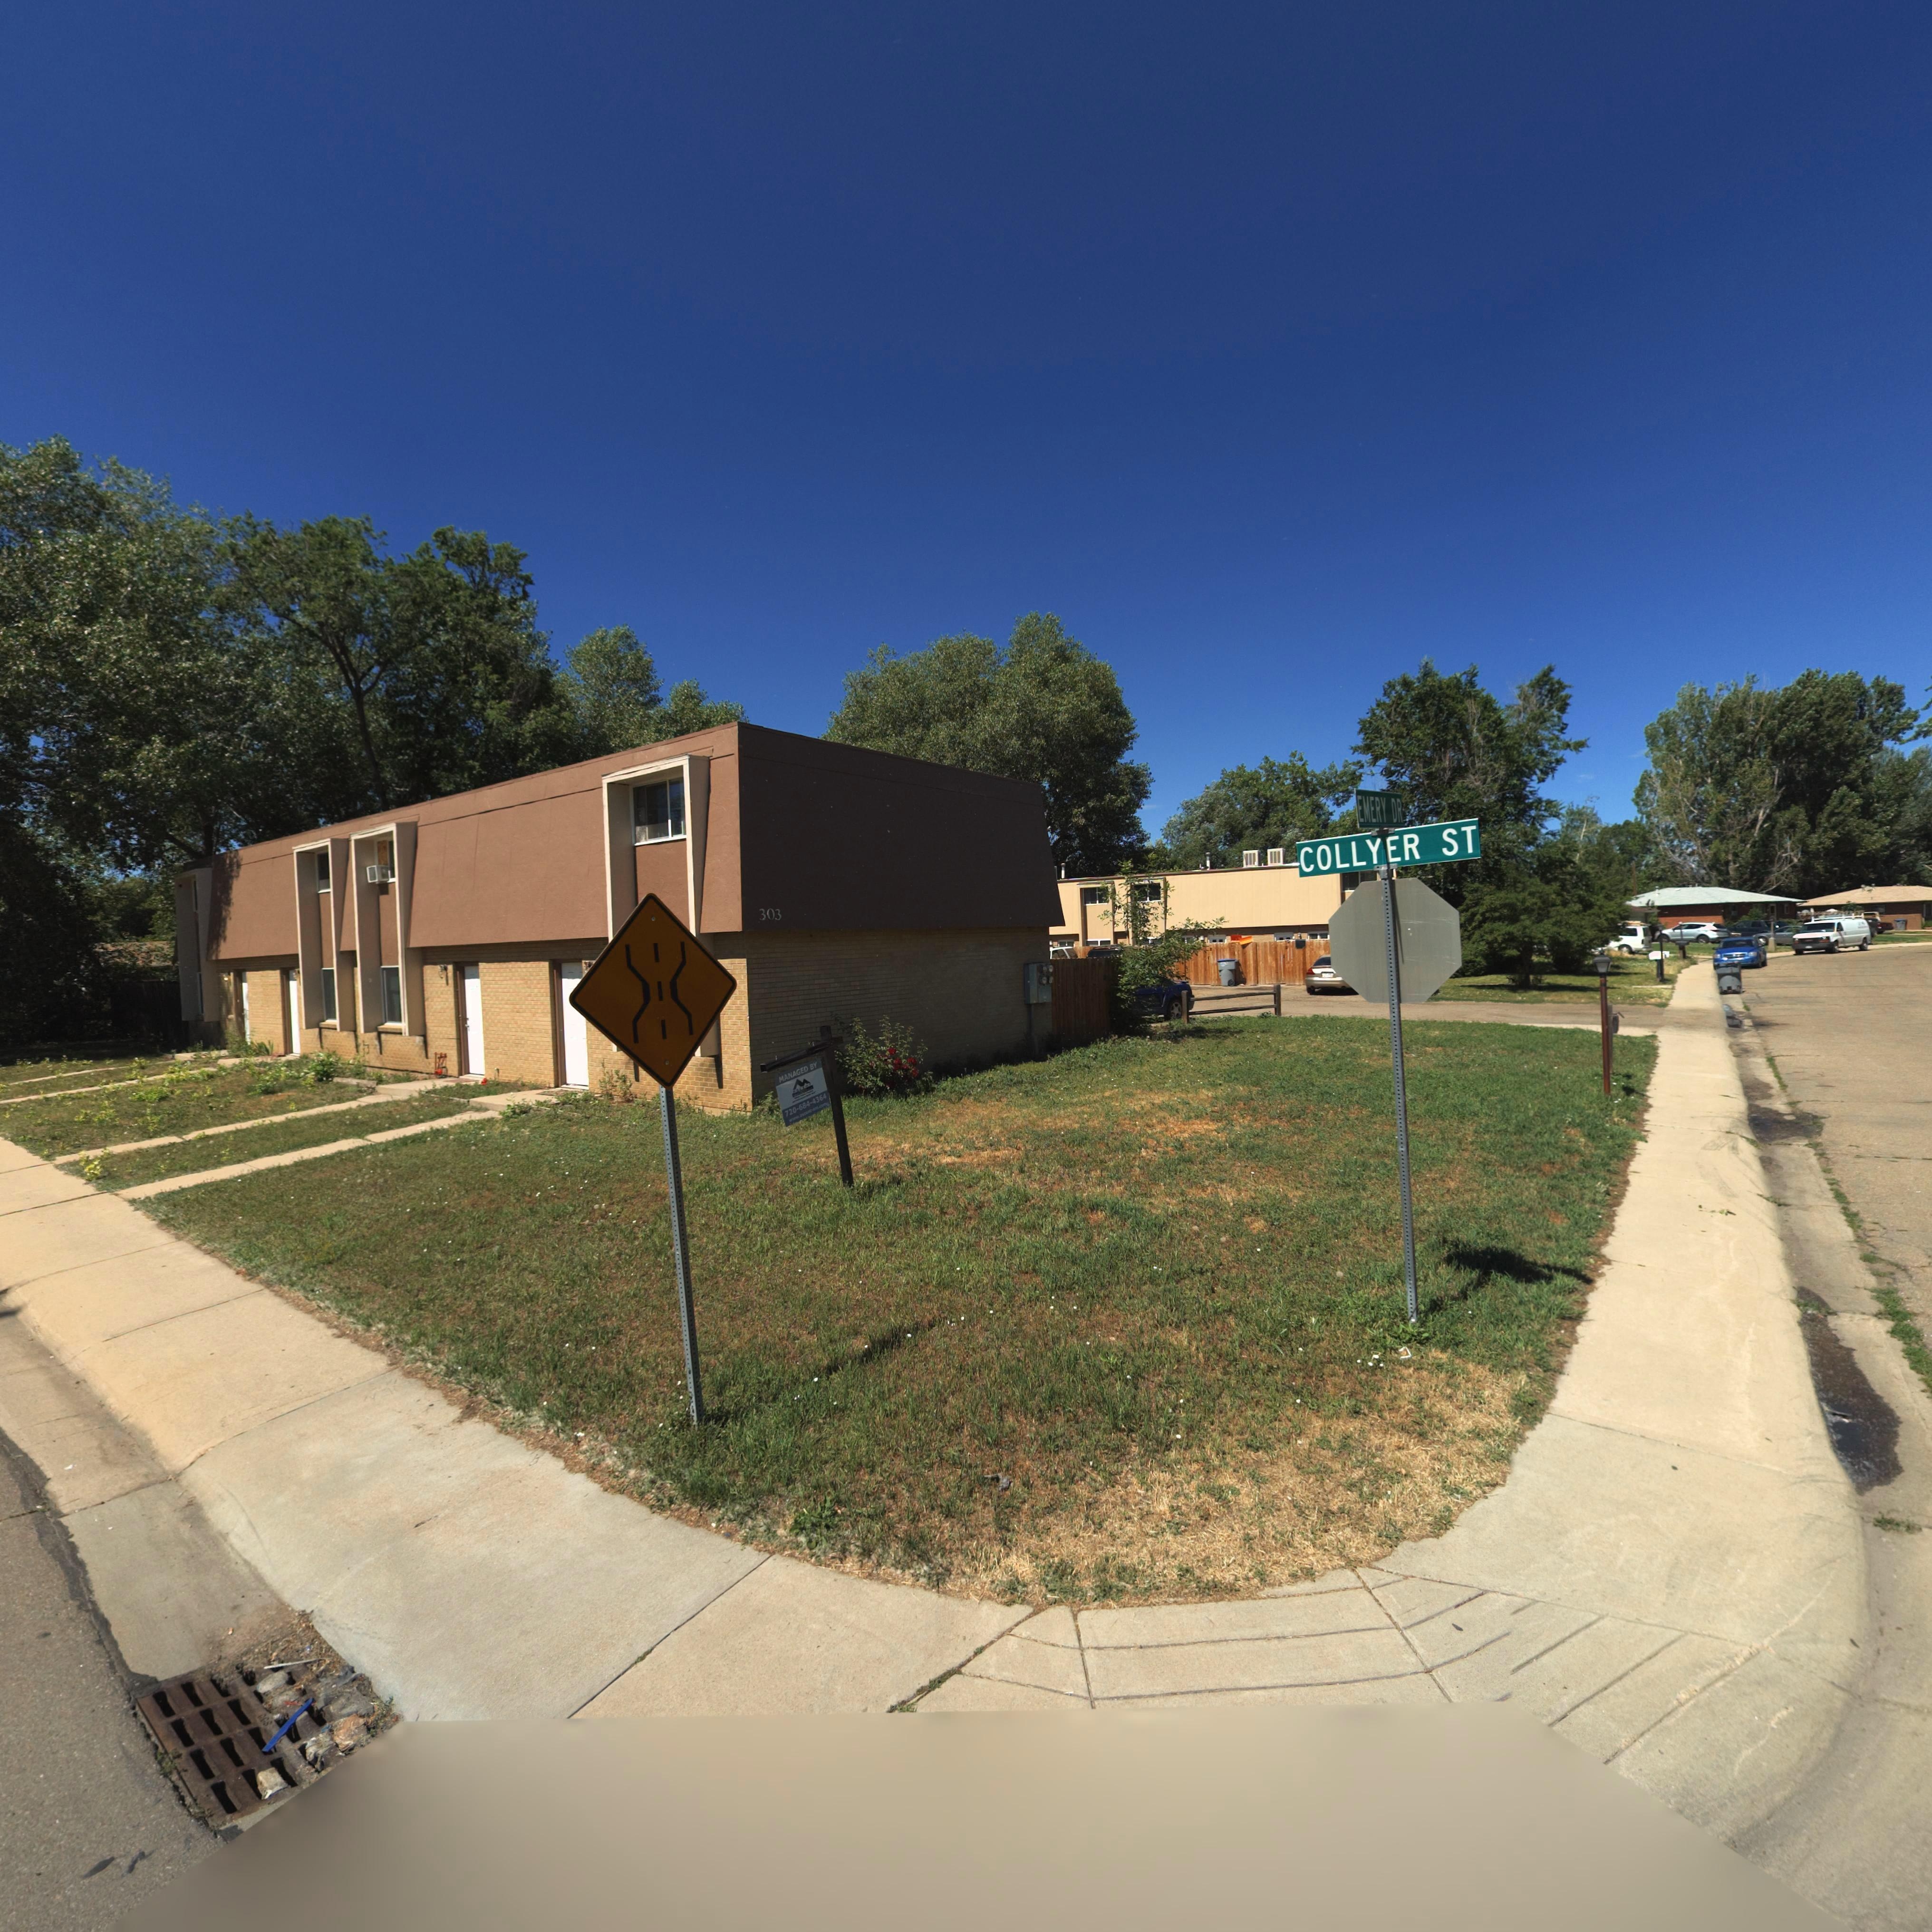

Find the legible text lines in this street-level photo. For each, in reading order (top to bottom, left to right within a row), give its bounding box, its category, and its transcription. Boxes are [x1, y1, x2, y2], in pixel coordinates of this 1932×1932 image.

[1356, 794, 1404, 823] StreetName: EMERY DR
[1297, 823, 1478, 874] StreetName: COLLYER ST
[757, 905, 783, 924] StreetNumber: 303